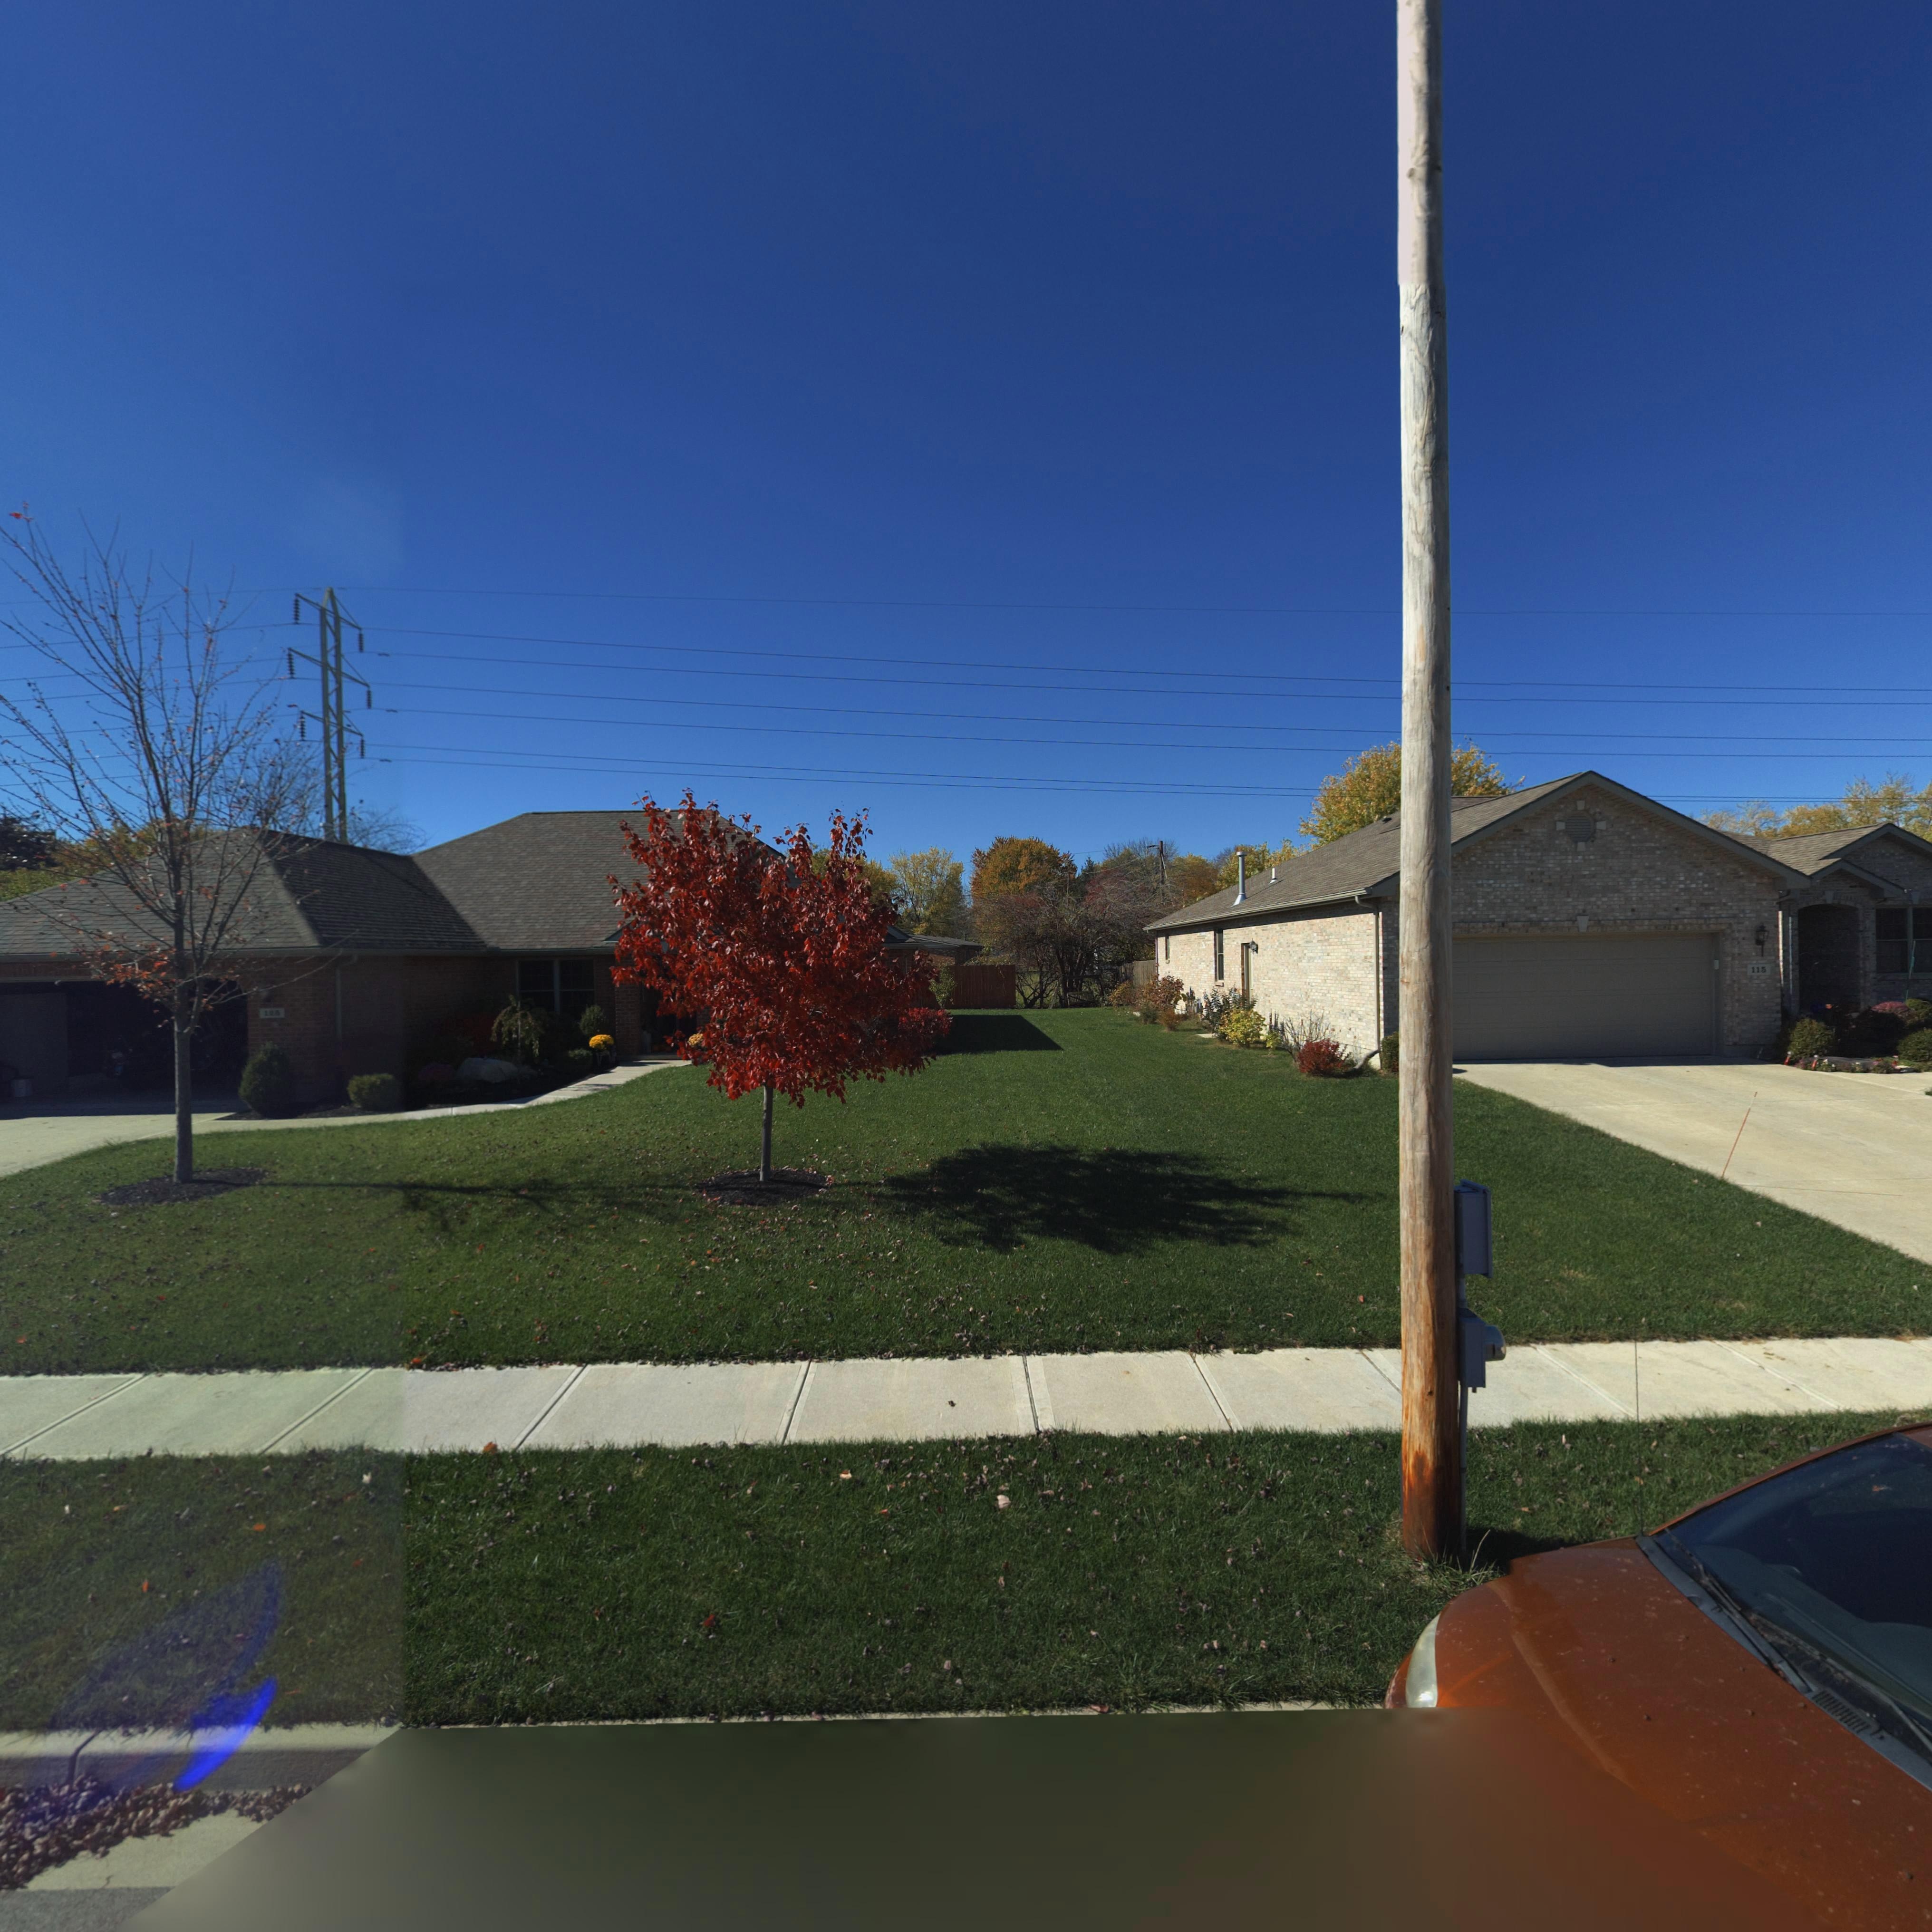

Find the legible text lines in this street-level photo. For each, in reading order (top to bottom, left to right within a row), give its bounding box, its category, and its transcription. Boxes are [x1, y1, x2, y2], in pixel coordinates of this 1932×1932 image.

[1751, 965, 1768, 974] StreetNumber: 11*
[263, 1008, 281, 1018] StreetNumber: 1**